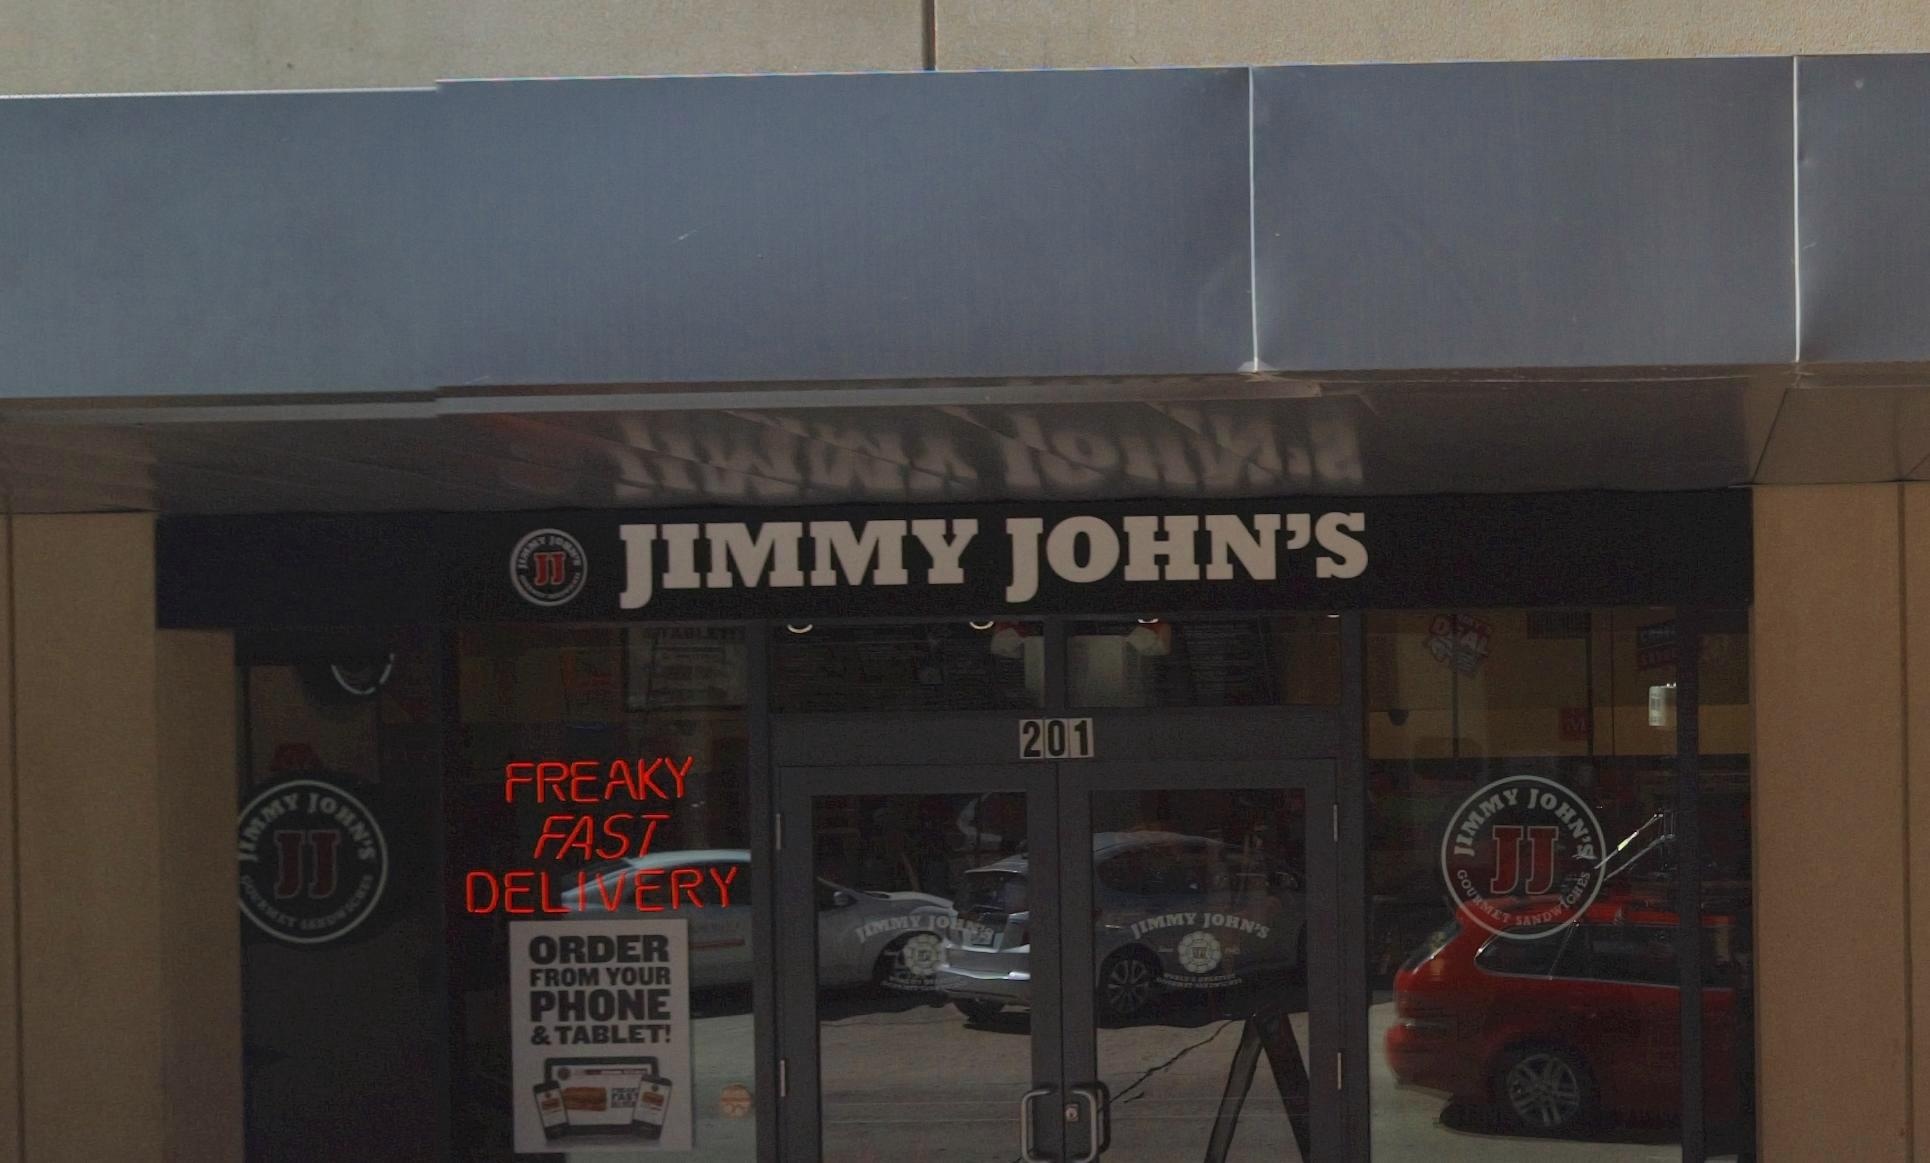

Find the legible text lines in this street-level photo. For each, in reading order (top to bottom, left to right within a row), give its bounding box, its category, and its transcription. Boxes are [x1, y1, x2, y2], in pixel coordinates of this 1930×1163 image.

[530, 549, 569, 589] None: JJ
[613, 504, 1374, 614] BusinessName: JIMMY JOHN'S
[1425, 611, 1492, 659] None: D*AL
[1019, 717, 1092, 759] StreetNumber: 201
[501, 753, 698, 807] None: FREAKY
[234, 787, 380, 864] BusinessName: IMMY JOHN'S
[528, 811, 673, 862] None: FAST
[1450, 784, 1598, 861] BusinessName: JIMMY JOHN'S
[270, 826, 345, 904] None: JJ
[463, 863, 742, 916] None: DELIVERY
[1453, 867, 1593, 929] None: GOURMET SANDWICHES
[524, 930, 674, 969] None: ORDER
[850, 910, 968, 948] BusinessName: JIMMY JOH
[1126, 909, 1273, 944] BusinessName: JIMMY JOHN'S
[526, 963, 675, 990] None: FROM YOUR
[527, 983, 675, 1025] None: PHONE
[551, 1021, 676, 1047] None: TABLET!